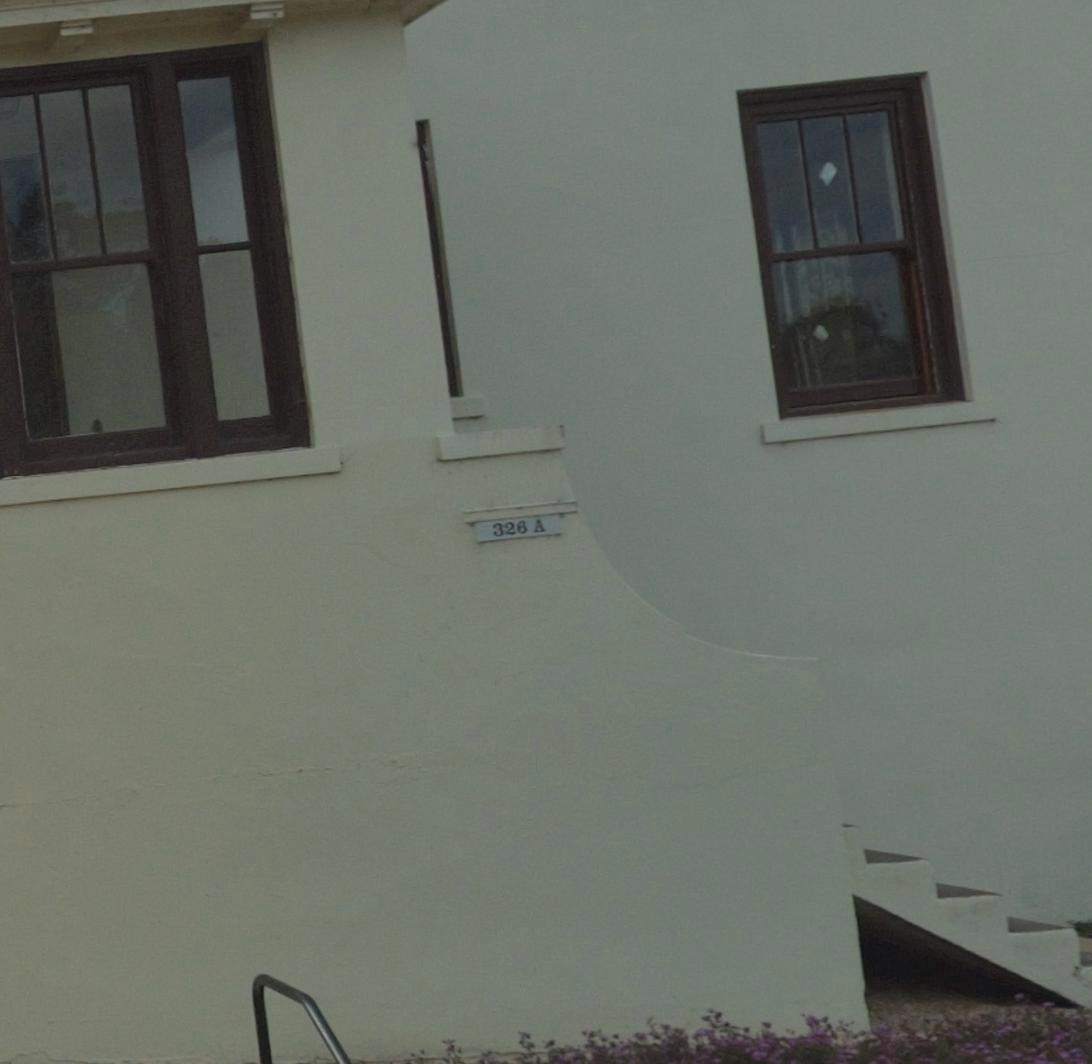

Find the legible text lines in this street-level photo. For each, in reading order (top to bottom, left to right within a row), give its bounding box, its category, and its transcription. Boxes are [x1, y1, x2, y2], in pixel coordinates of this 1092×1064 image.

[491, 517, 549, 539] StreetNumber: 326A